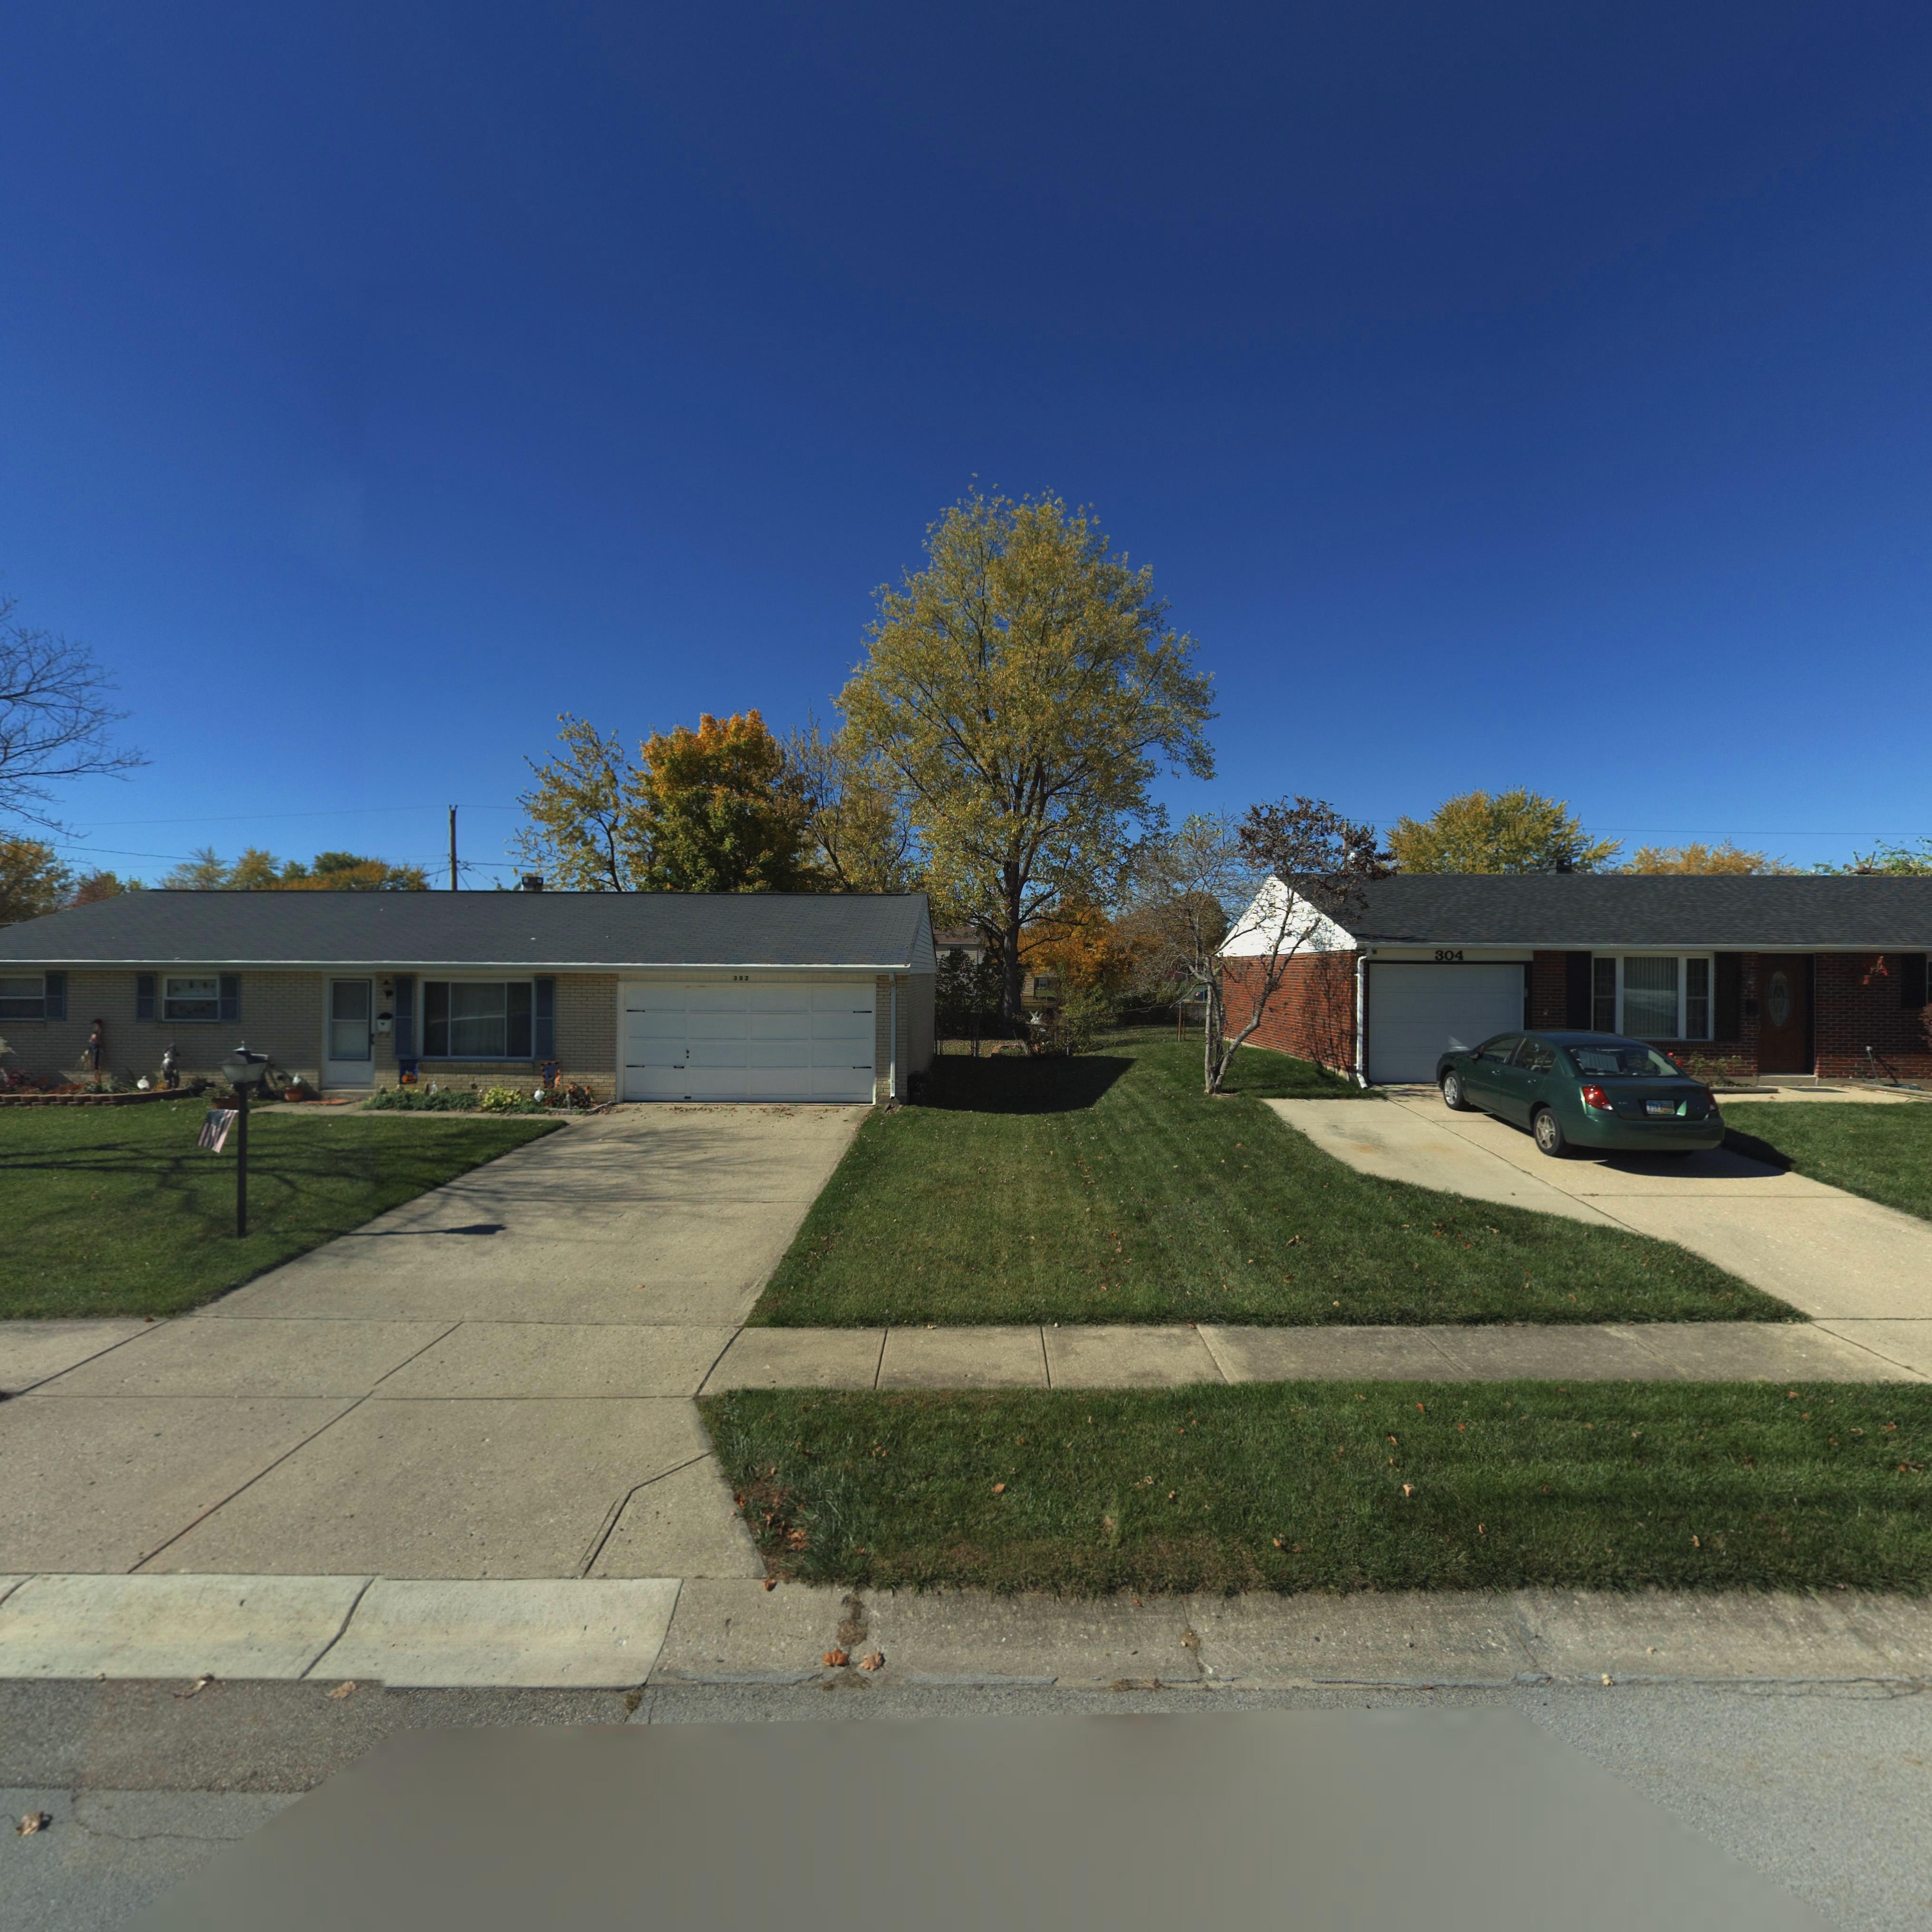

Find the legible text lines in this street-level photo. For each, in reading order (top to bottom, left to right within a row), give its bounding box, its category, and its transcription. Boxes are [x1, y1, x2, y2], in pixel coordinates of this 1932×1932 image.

[1434, 949, 1464, 961] StreetNumber: 304
[733, 975, 748, 981] StreetNumber: 302